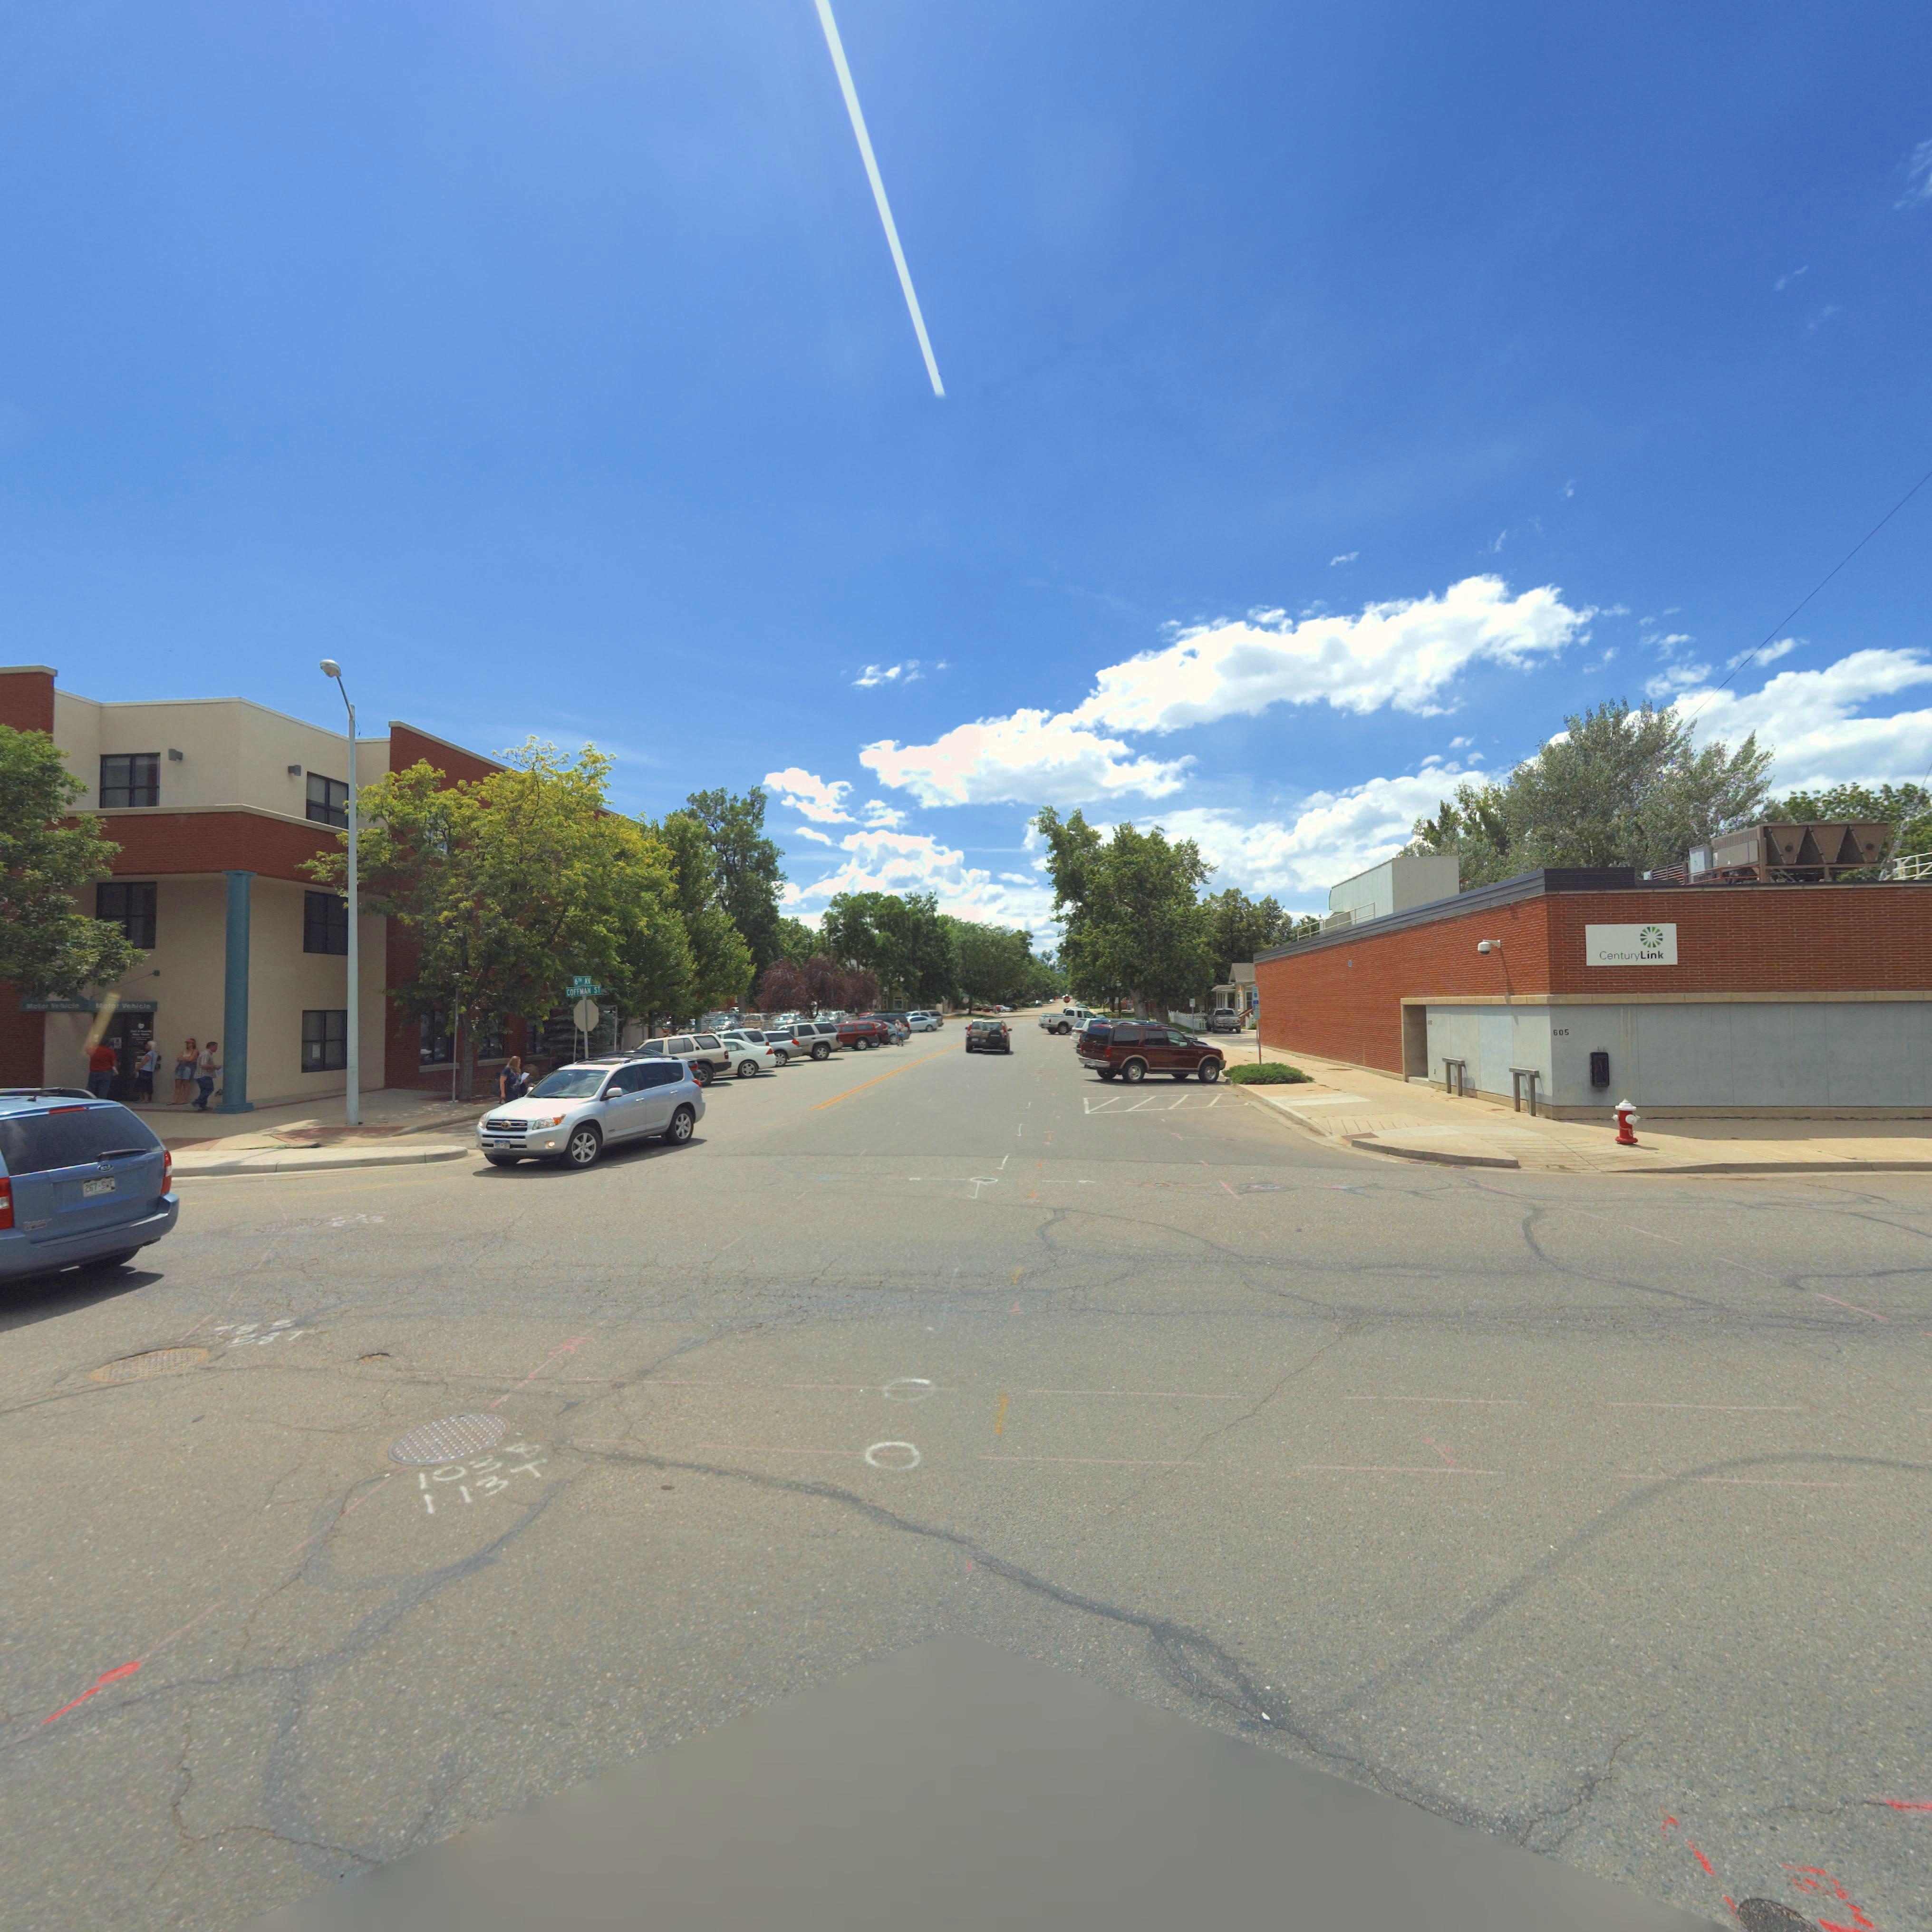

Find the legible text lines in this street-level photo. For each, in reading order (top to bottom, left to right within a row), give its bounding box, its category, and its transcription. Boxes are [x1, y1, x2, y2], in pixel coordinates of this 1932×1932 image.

[1599, 950, 1664, 961] BusinessName: CenturyLink
[574, 977, 591, 985] StreetName:  6TH AV
[566, 985, 600, 996] StreetName: COFFMAN ST
[25, 1002, 80, 1010] BusinessName: Motor V*hicle
[95, 1002, 151, 1009] BusinessName: Motor Vehicl*
[1428, 1020, 1433, 1025] StreetNumber: **5
[1553, 1029, 1570, 1036] StreetNumber: 605